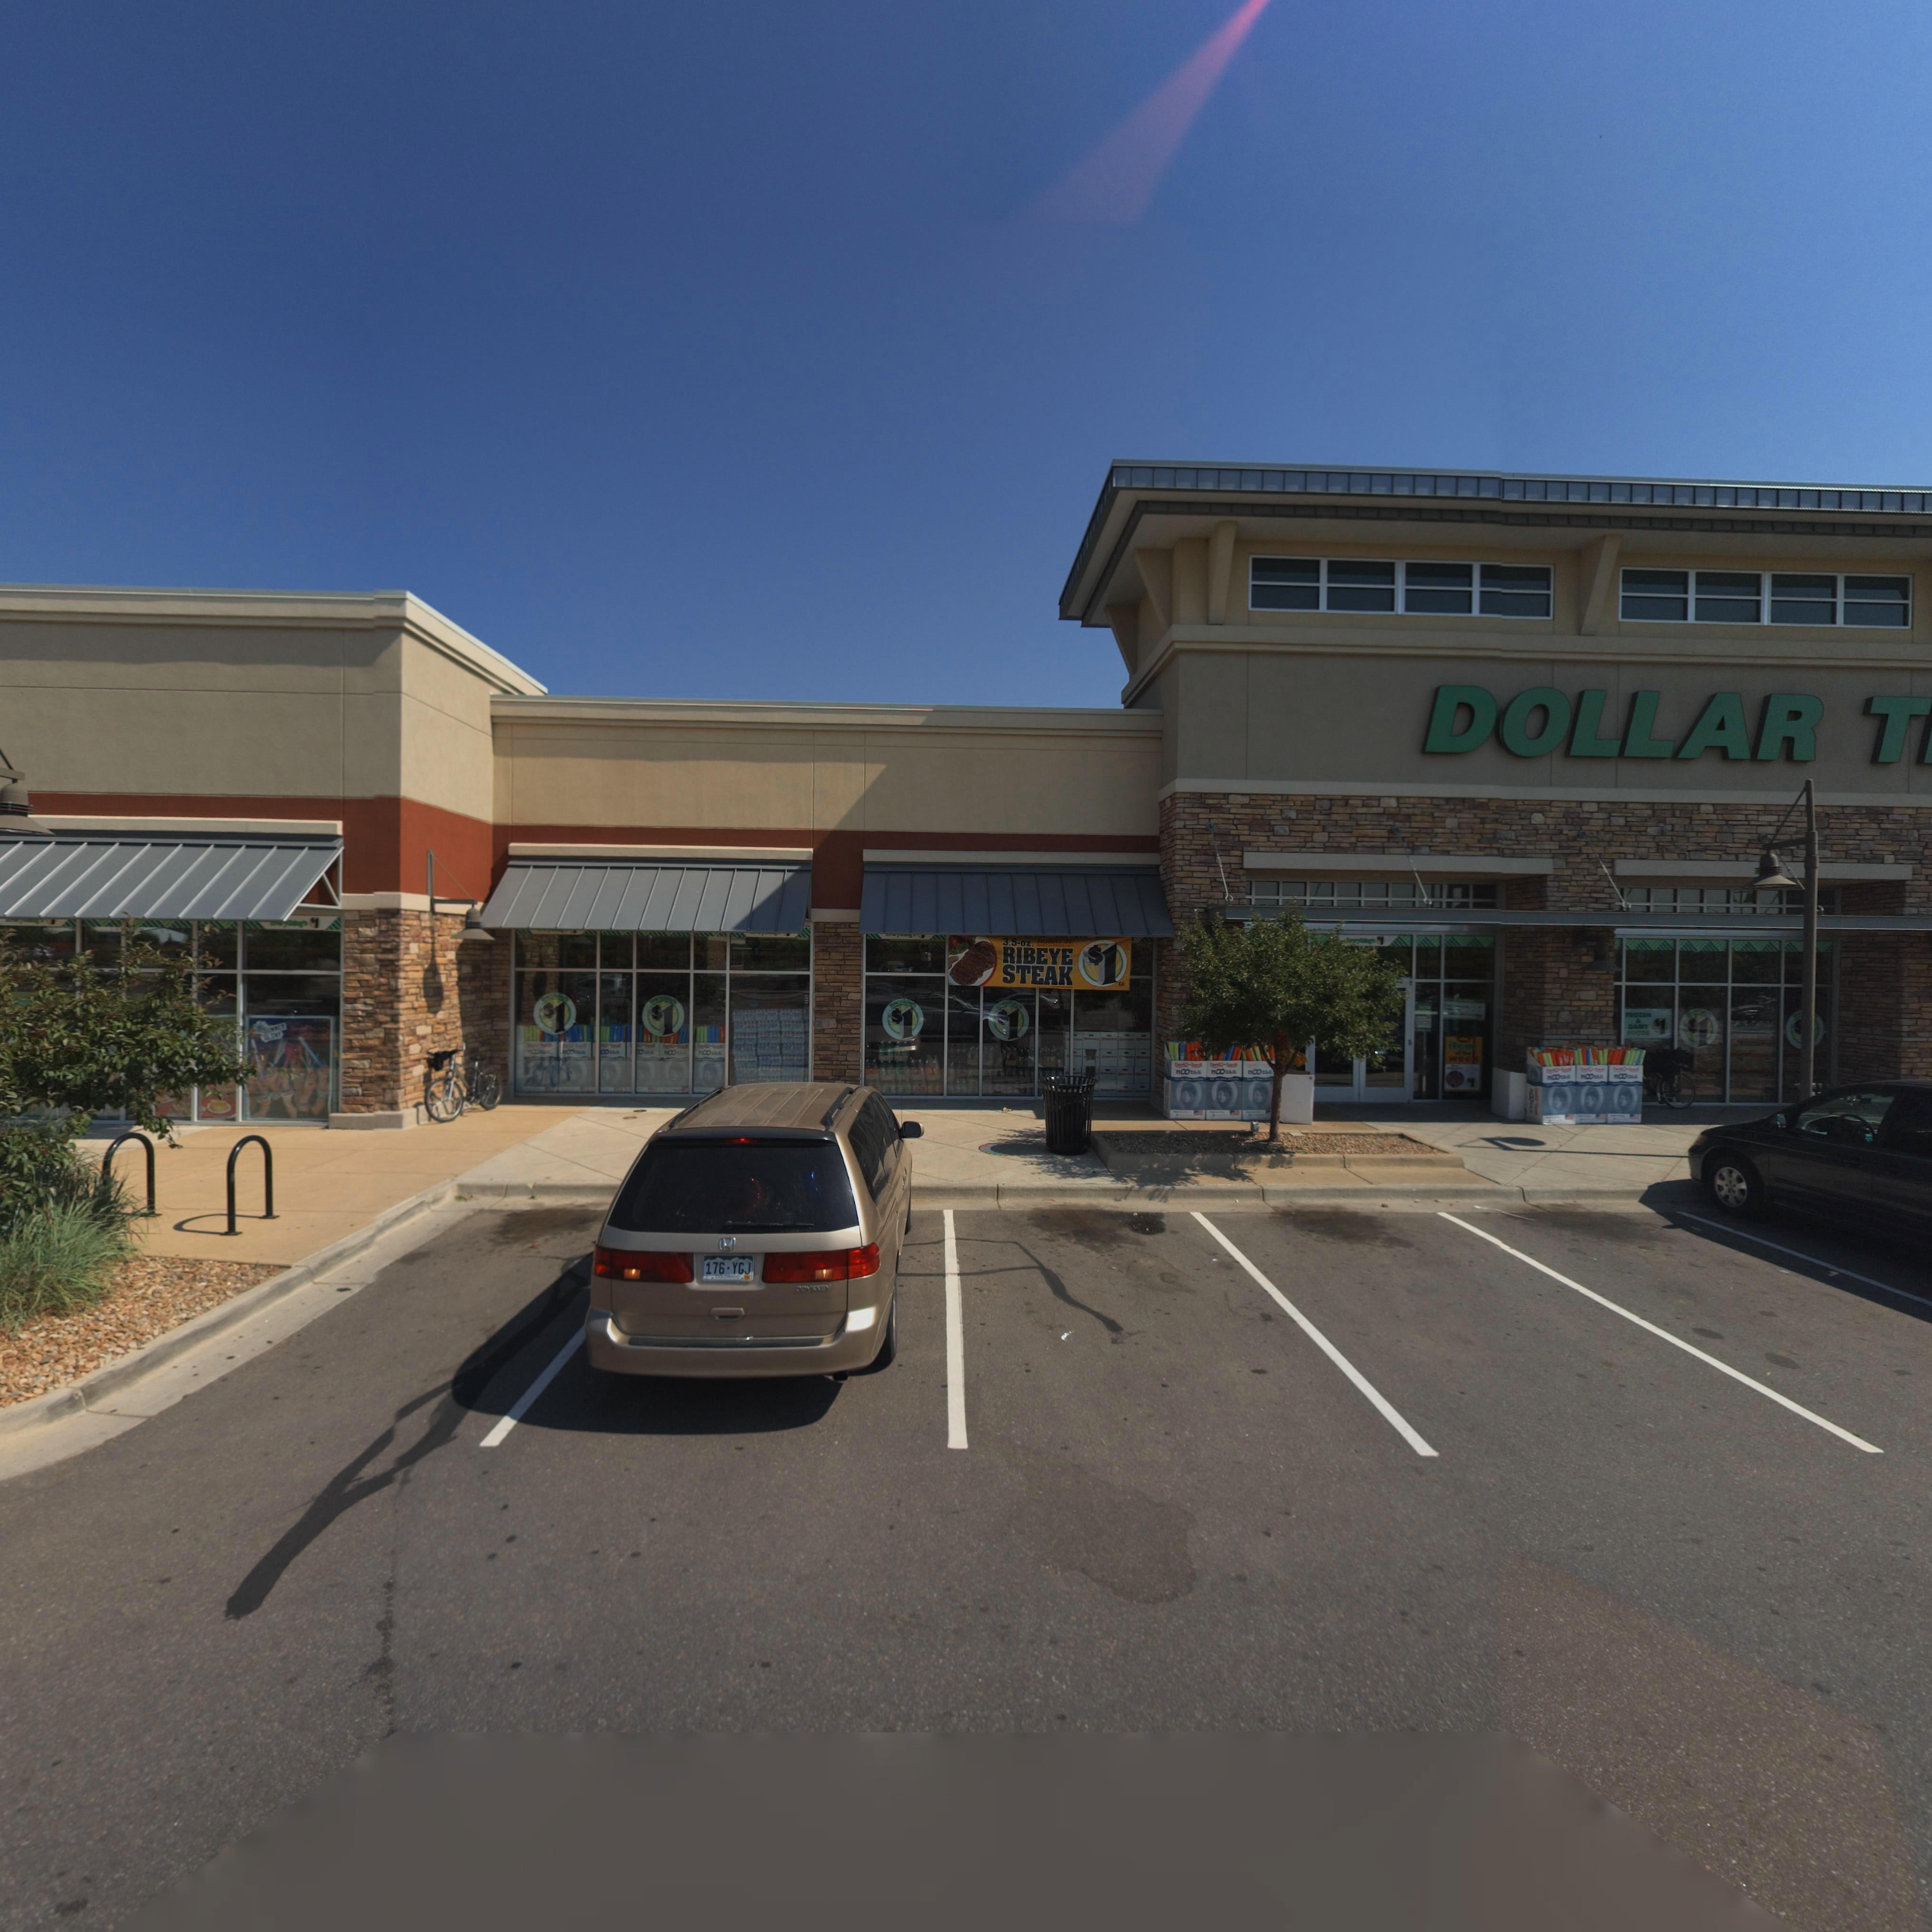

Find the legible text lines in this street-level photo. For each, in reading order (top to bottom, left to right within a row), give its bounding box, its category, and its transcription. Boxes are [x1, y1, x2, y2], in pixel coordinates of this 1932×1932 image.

[1420, 684, 1825, 762] BusinessName: DOLLAR
[1036, 943, 1075, 947] None: \*